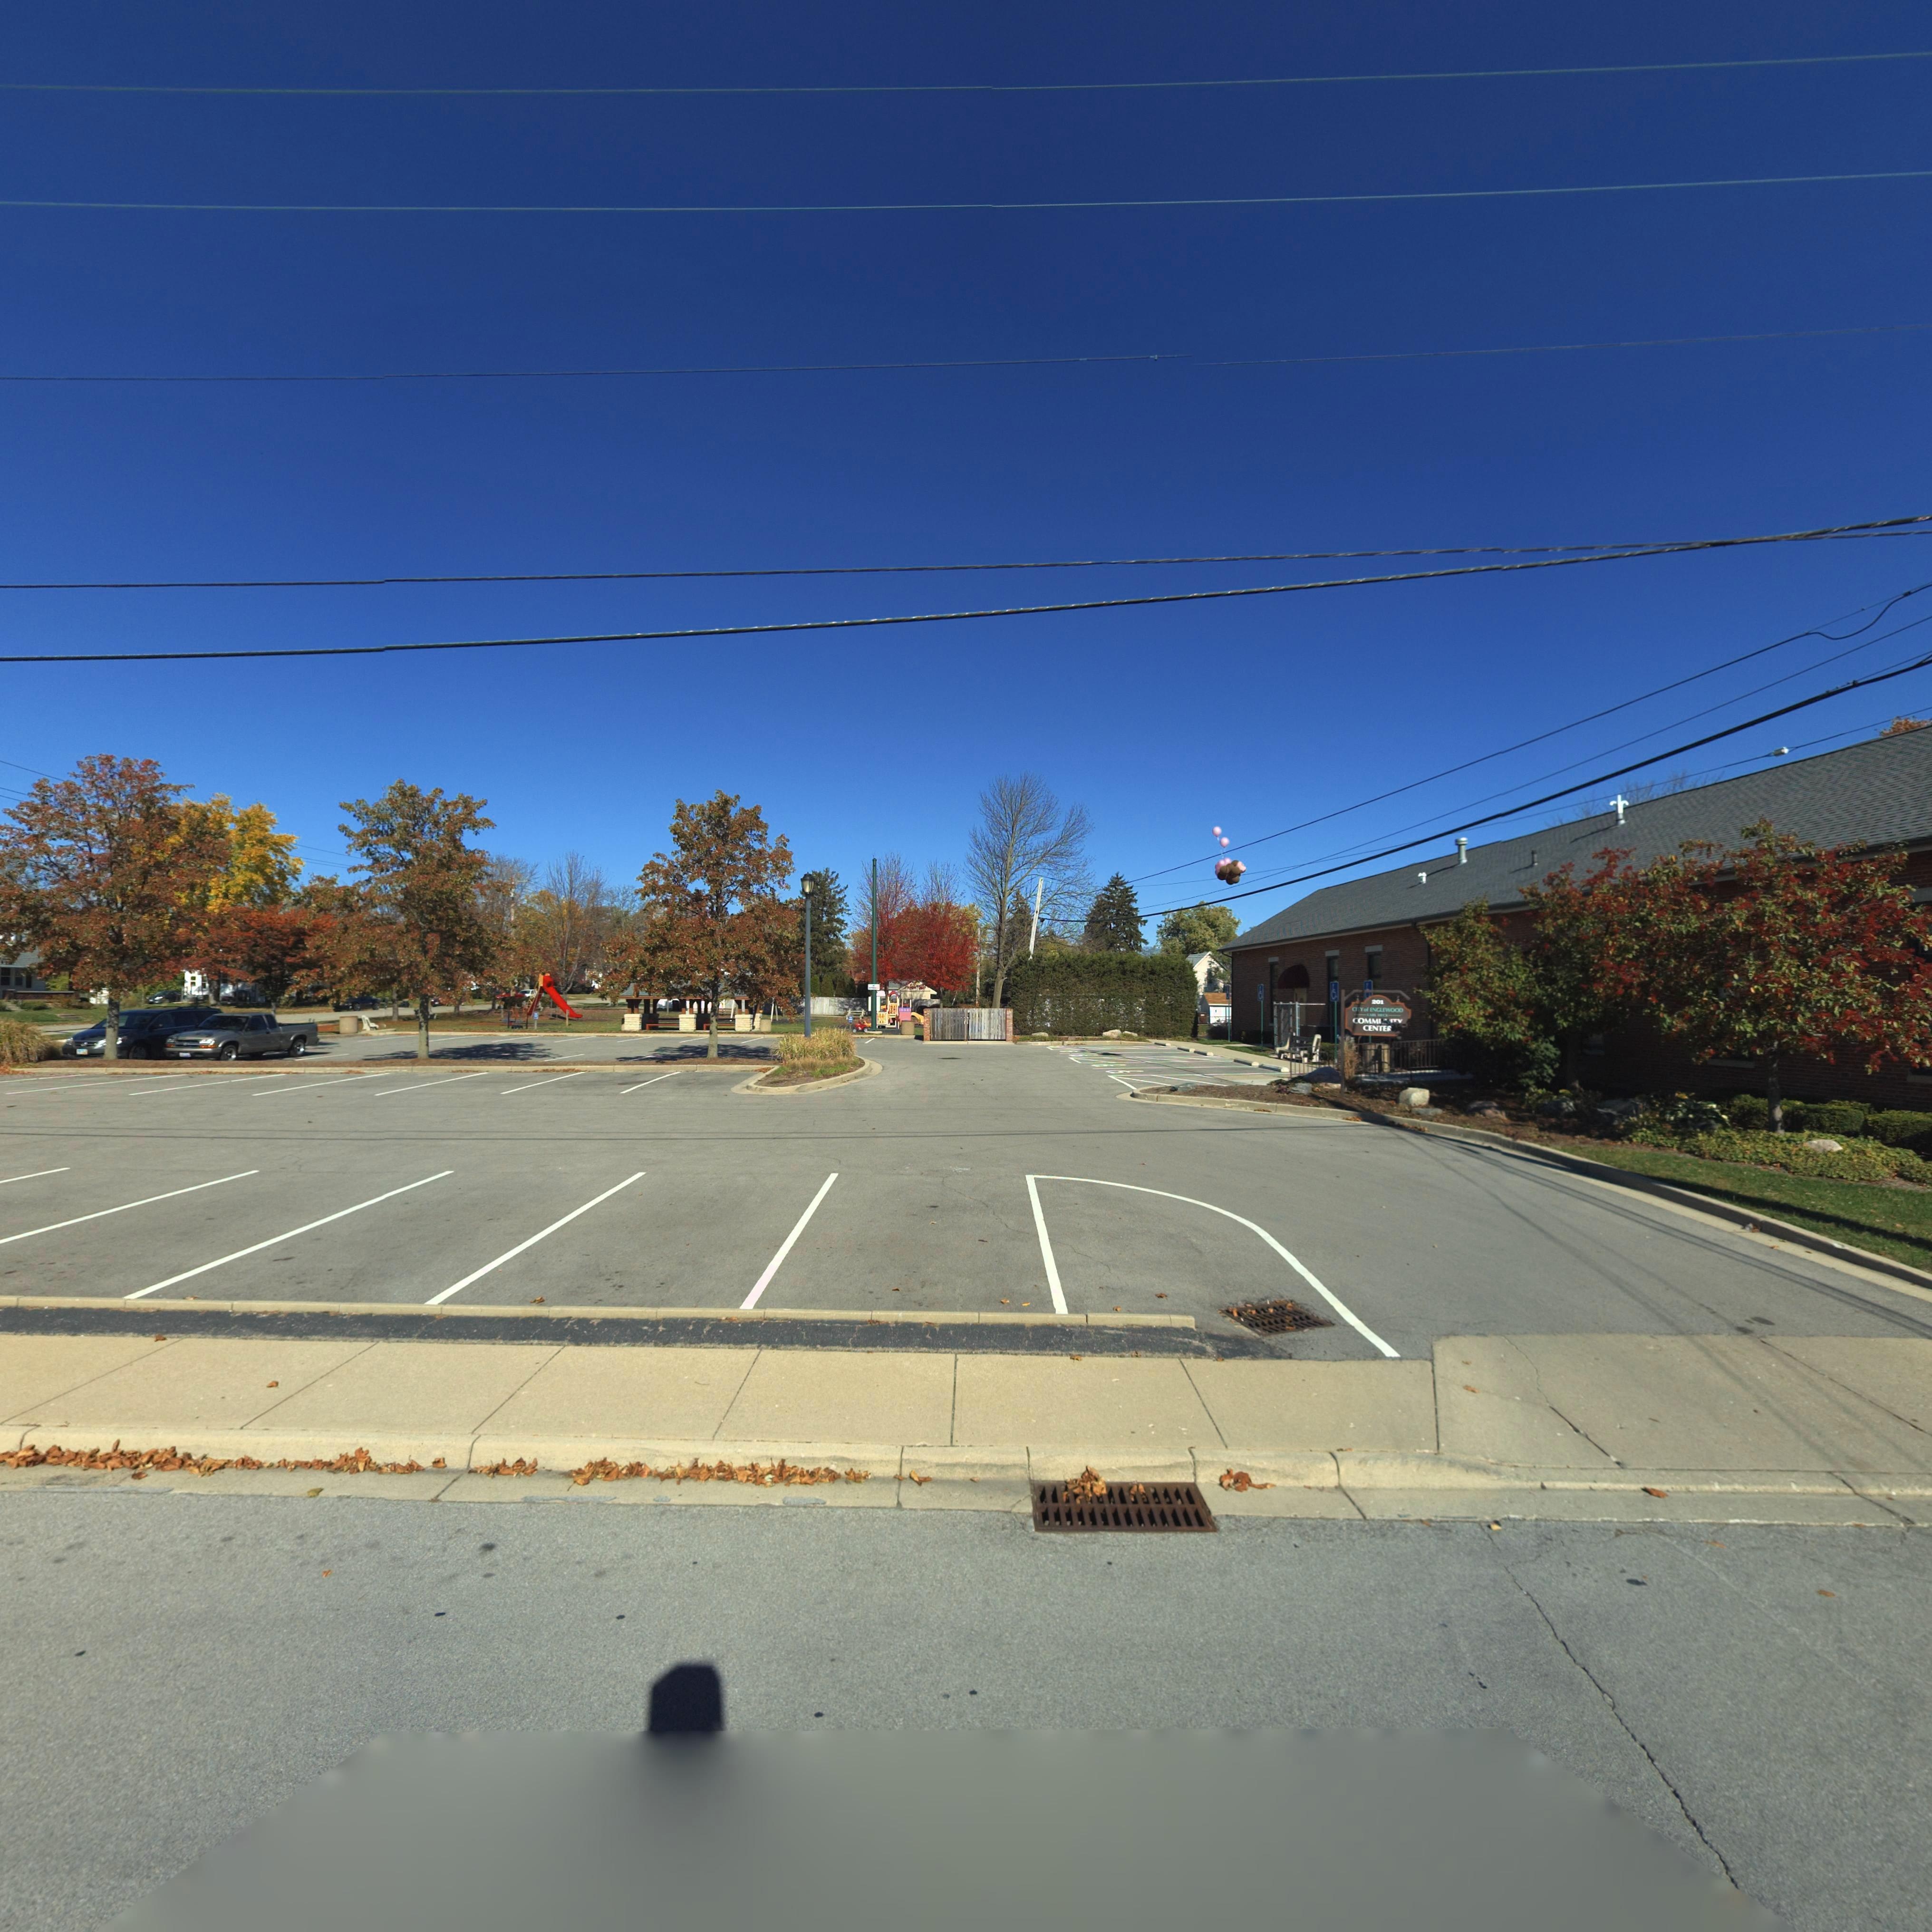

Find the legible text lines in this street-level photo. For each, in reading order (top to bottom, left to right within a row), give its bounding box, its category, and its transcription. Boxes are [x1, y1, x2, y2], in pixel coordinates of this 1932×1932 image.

[1371, 999, 1384, 1005] StreetNumber: 201
[1351, 1006, 1404, 1013] None: CITY of ENGLEWOOD
[1352, 1017, 1379, 1025] None: COMM
[1362, 1025, 1392, 1032] None: CENTER